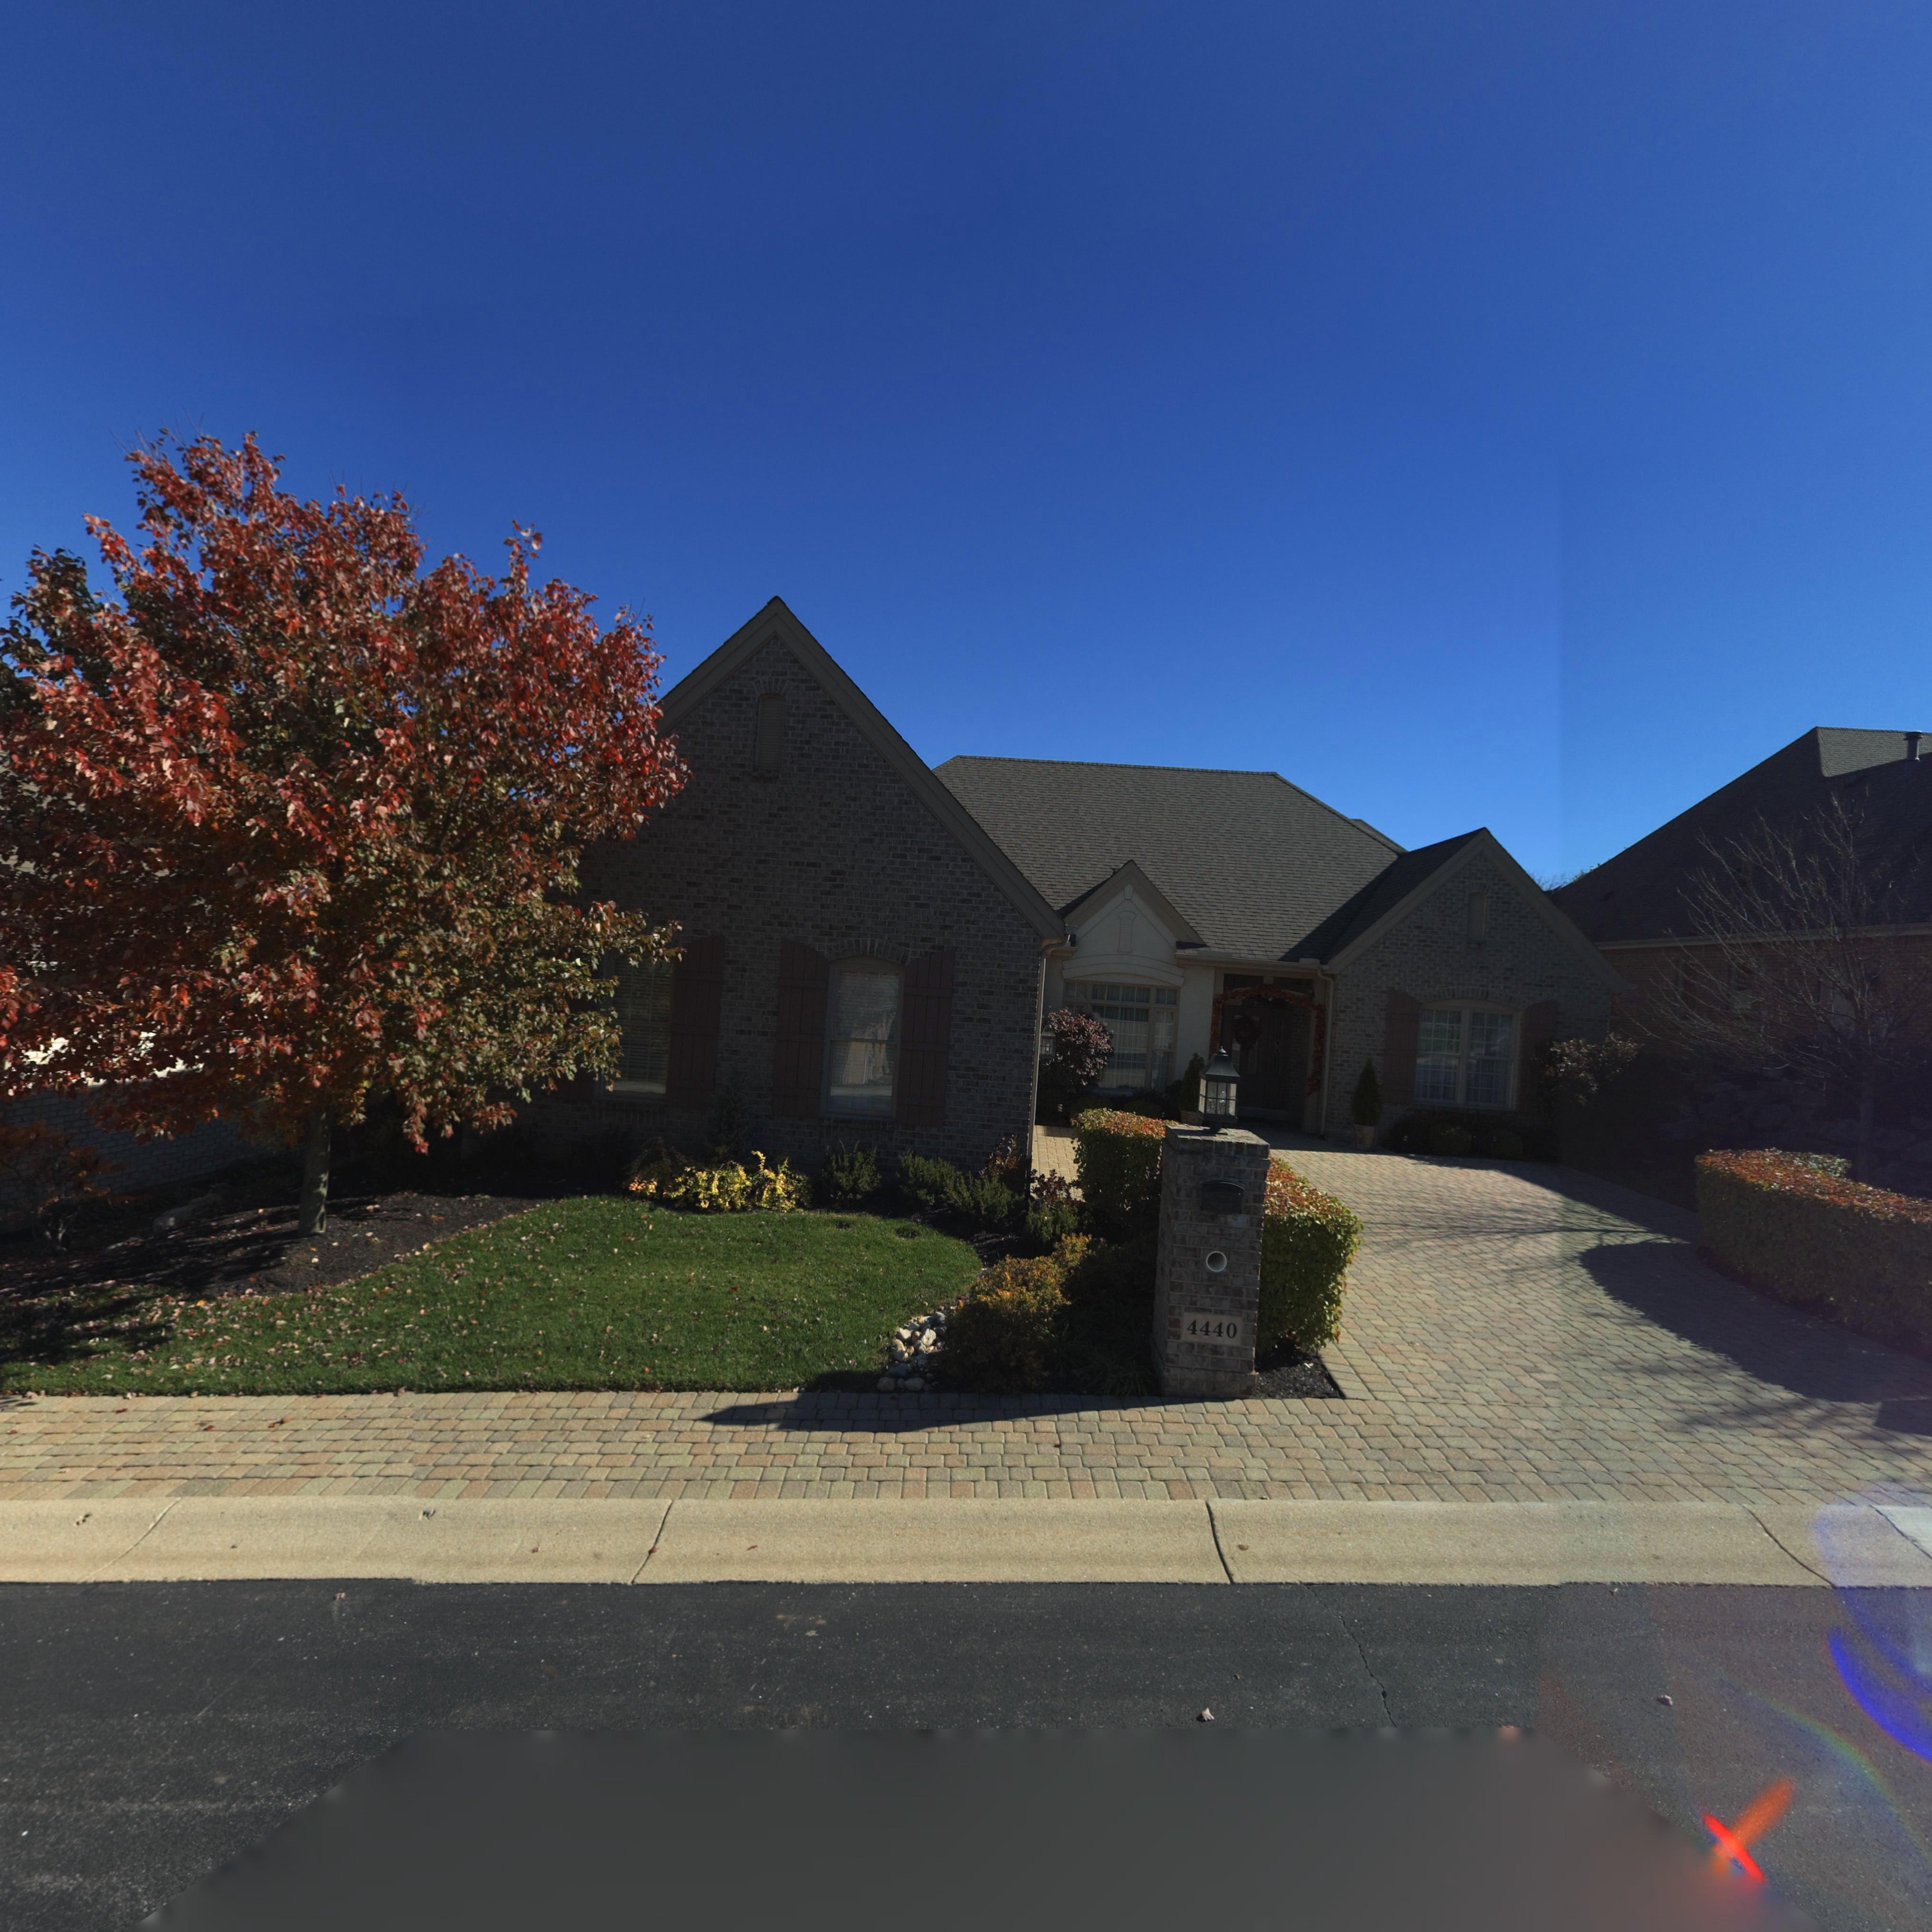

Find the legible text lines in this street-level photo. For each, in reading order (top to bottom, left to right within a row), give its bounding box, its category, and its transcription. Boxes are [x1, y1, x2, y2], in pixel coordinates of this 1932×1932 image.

[1184, 1317, 1239, 1340] StreetNumber: 4440